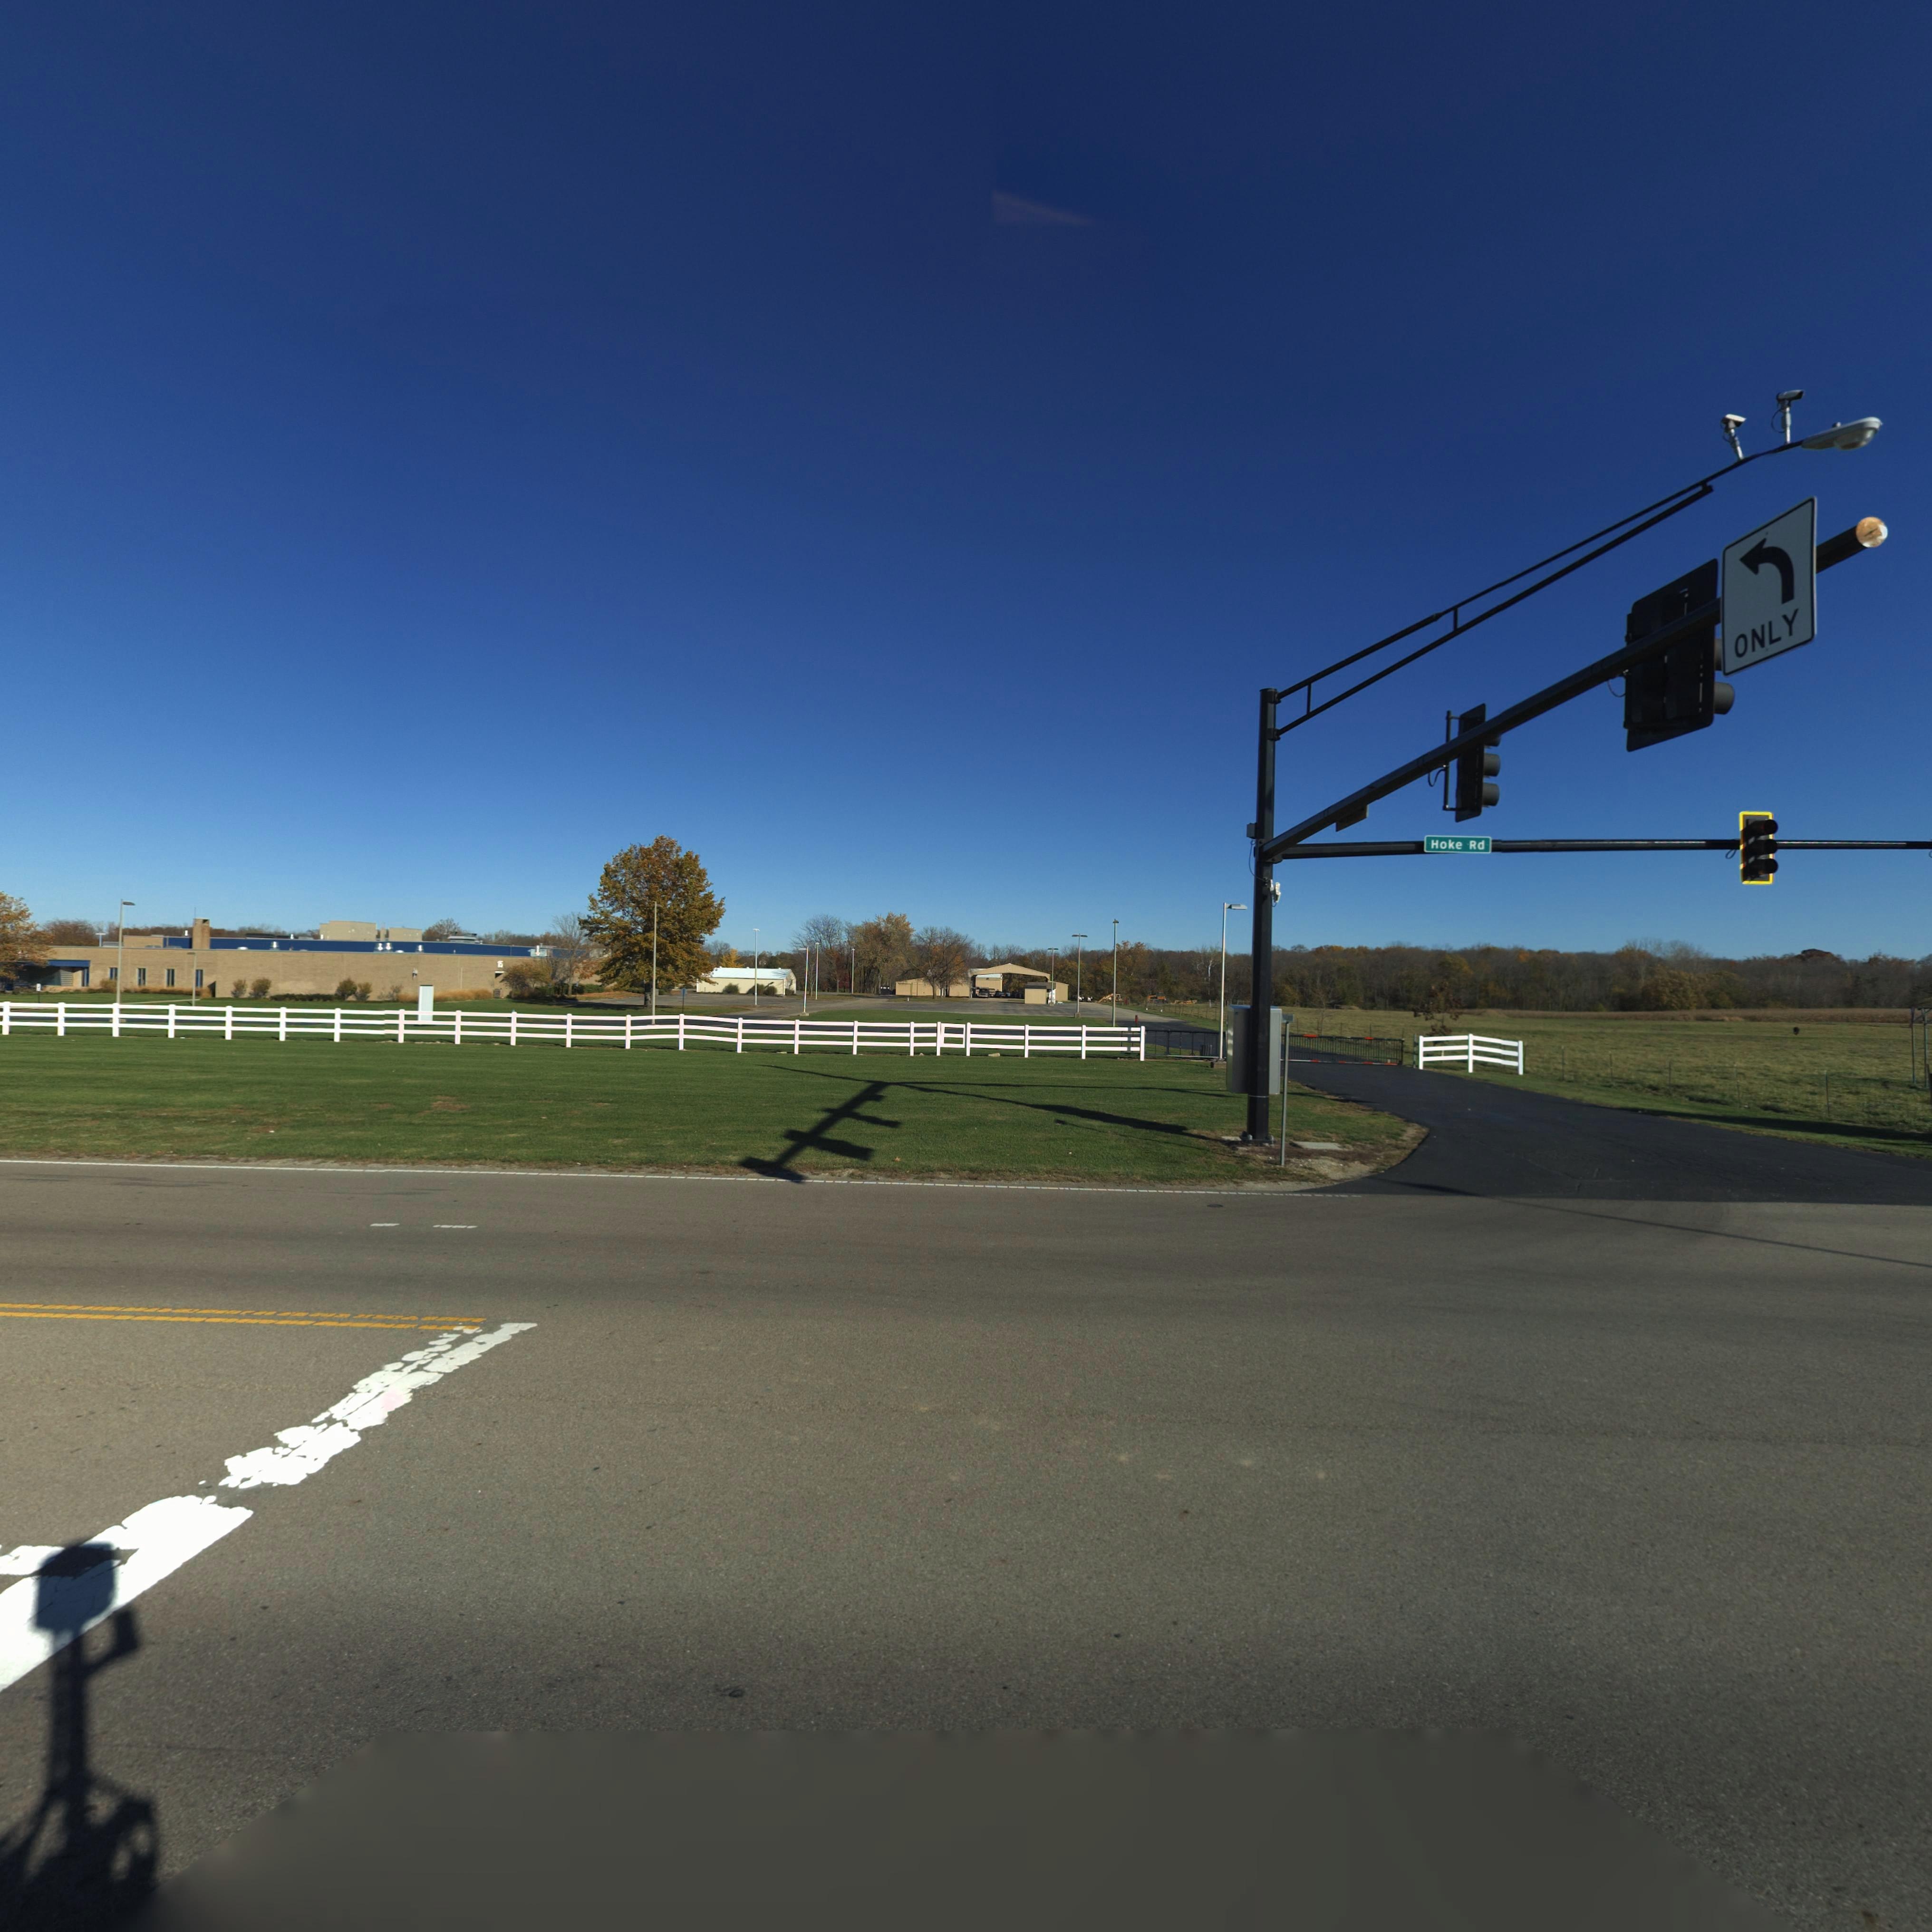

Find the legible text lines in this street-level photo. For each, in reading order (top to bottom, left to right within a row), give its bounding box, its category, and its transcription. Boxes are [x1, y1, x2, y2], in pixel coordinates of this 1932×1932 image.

[497, 960, 503, 968] StreetNumber: 15